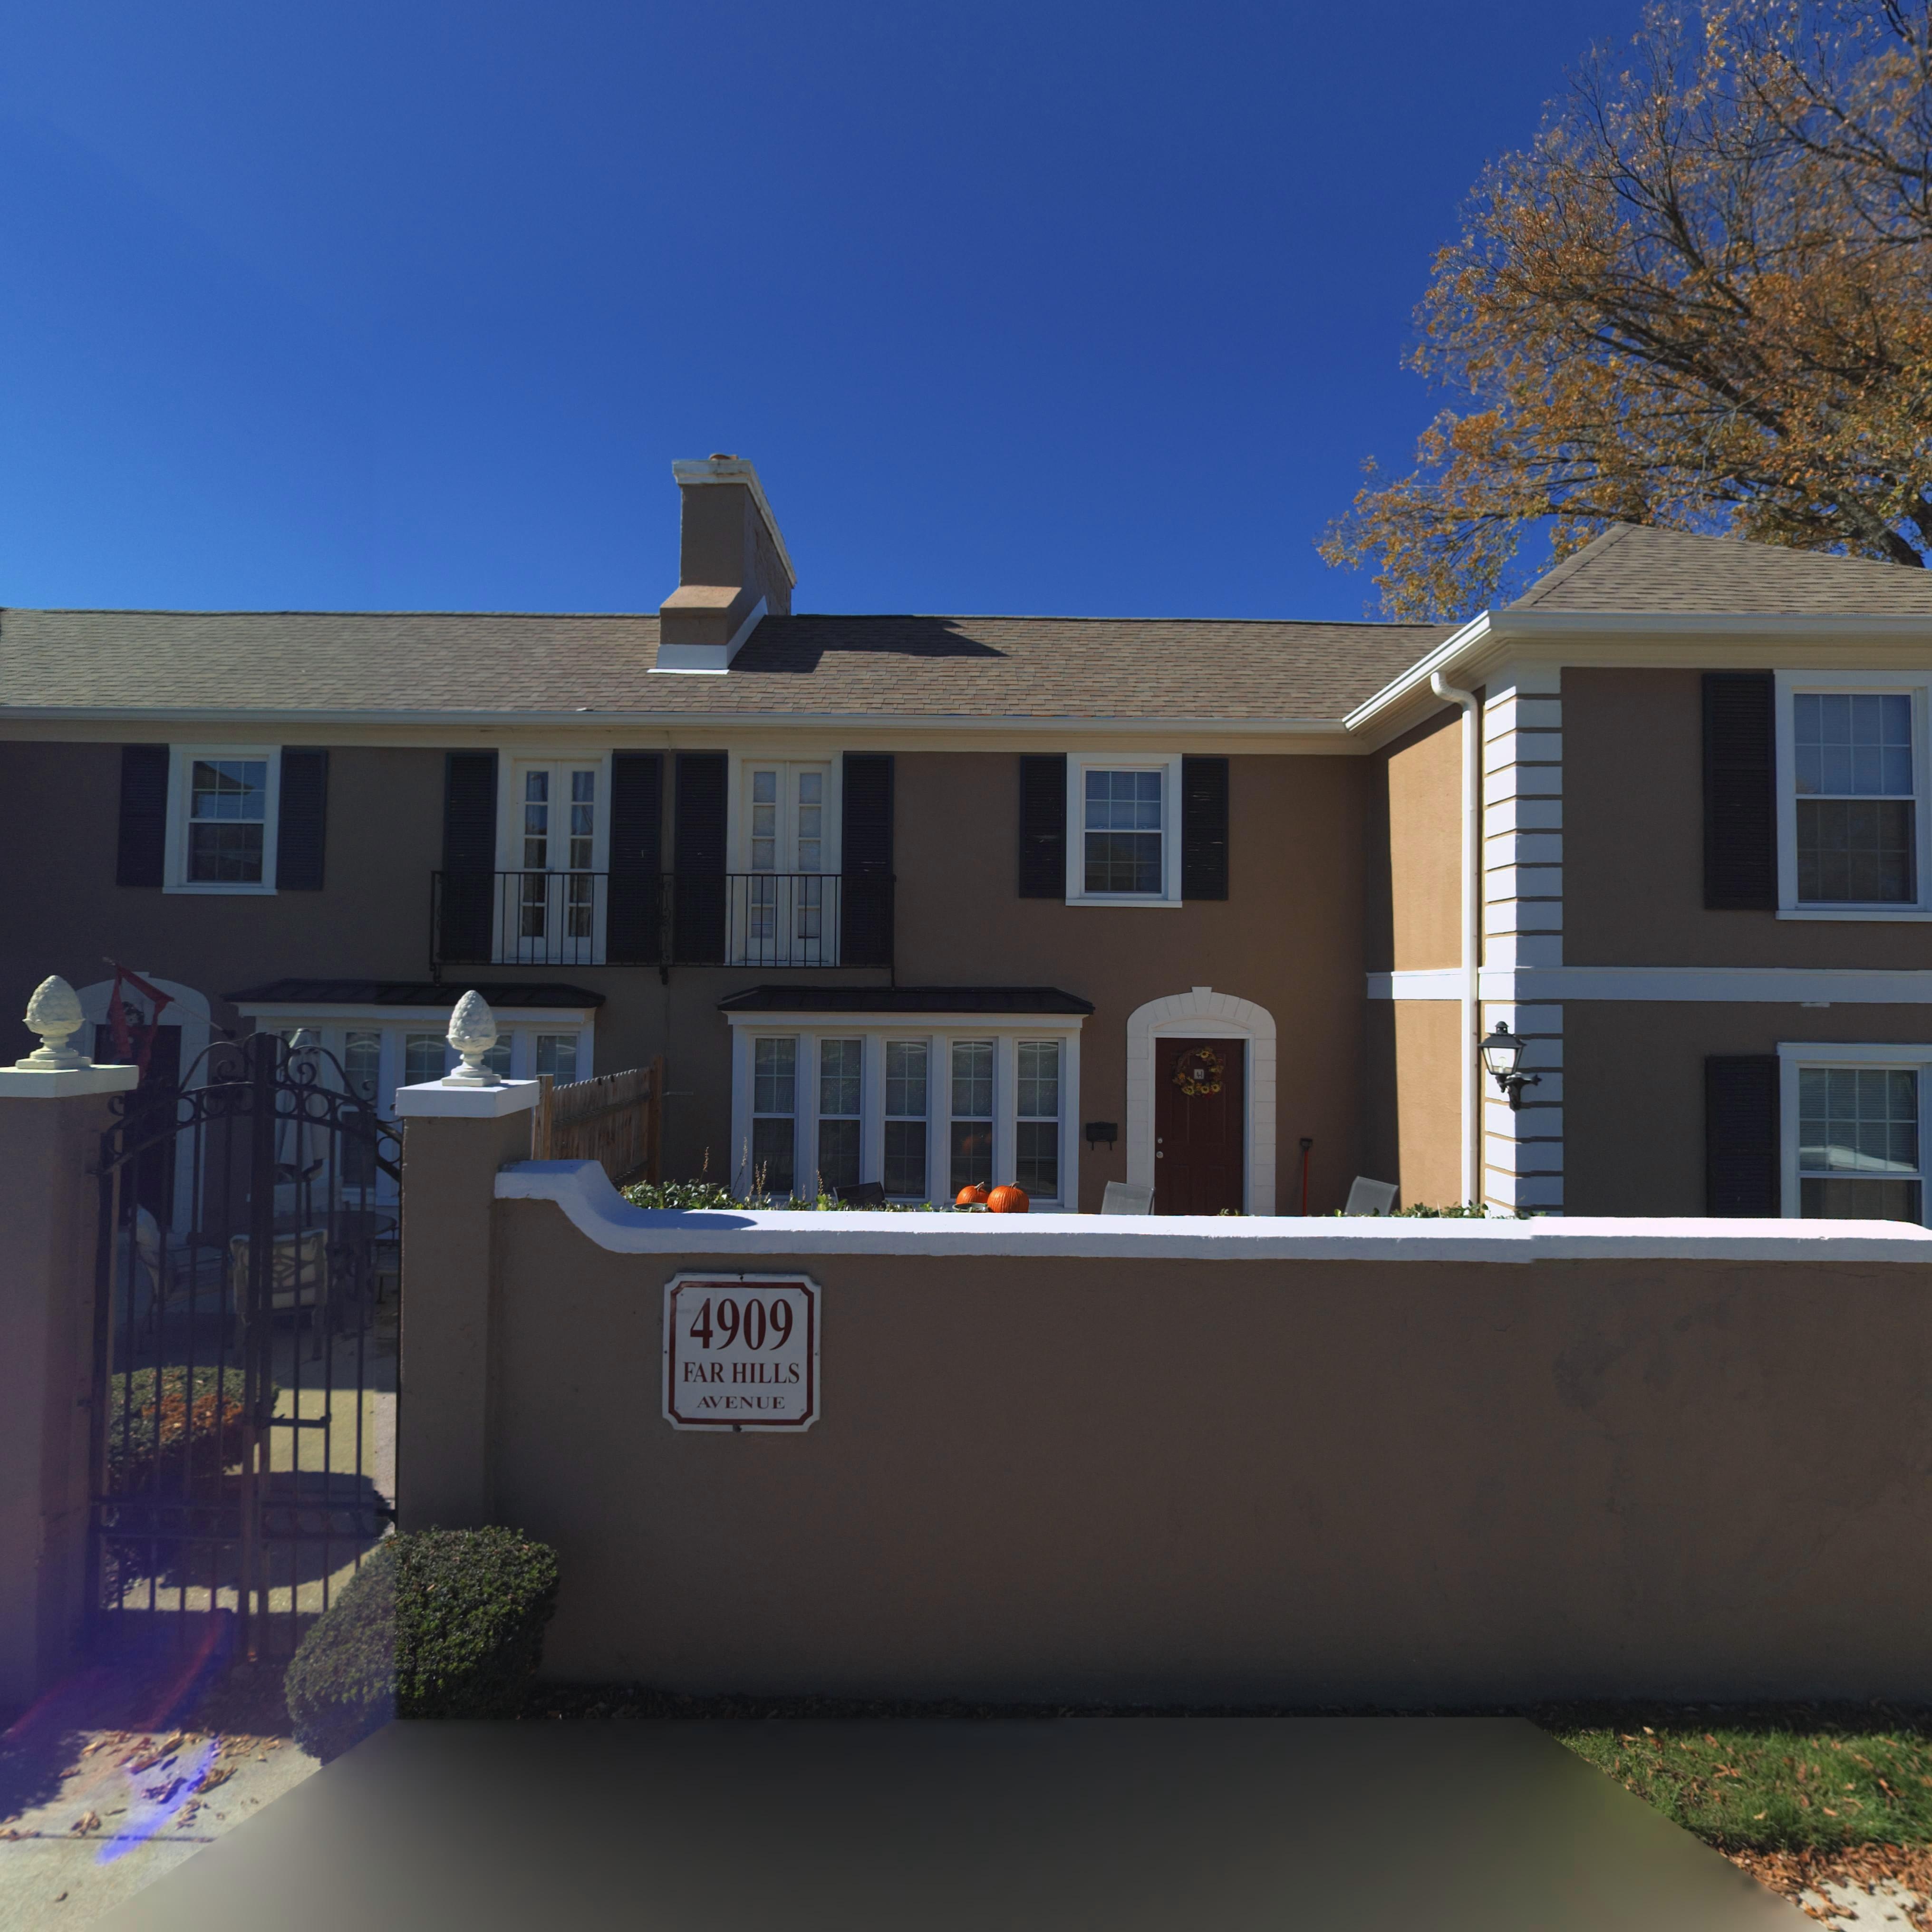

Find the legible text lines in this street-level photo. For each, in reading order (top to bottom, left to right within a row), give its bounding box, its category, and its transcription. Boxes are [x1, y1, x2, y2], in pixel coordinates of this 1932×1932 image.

[687, 1297, 794, 1352] StreetNumber: 4909